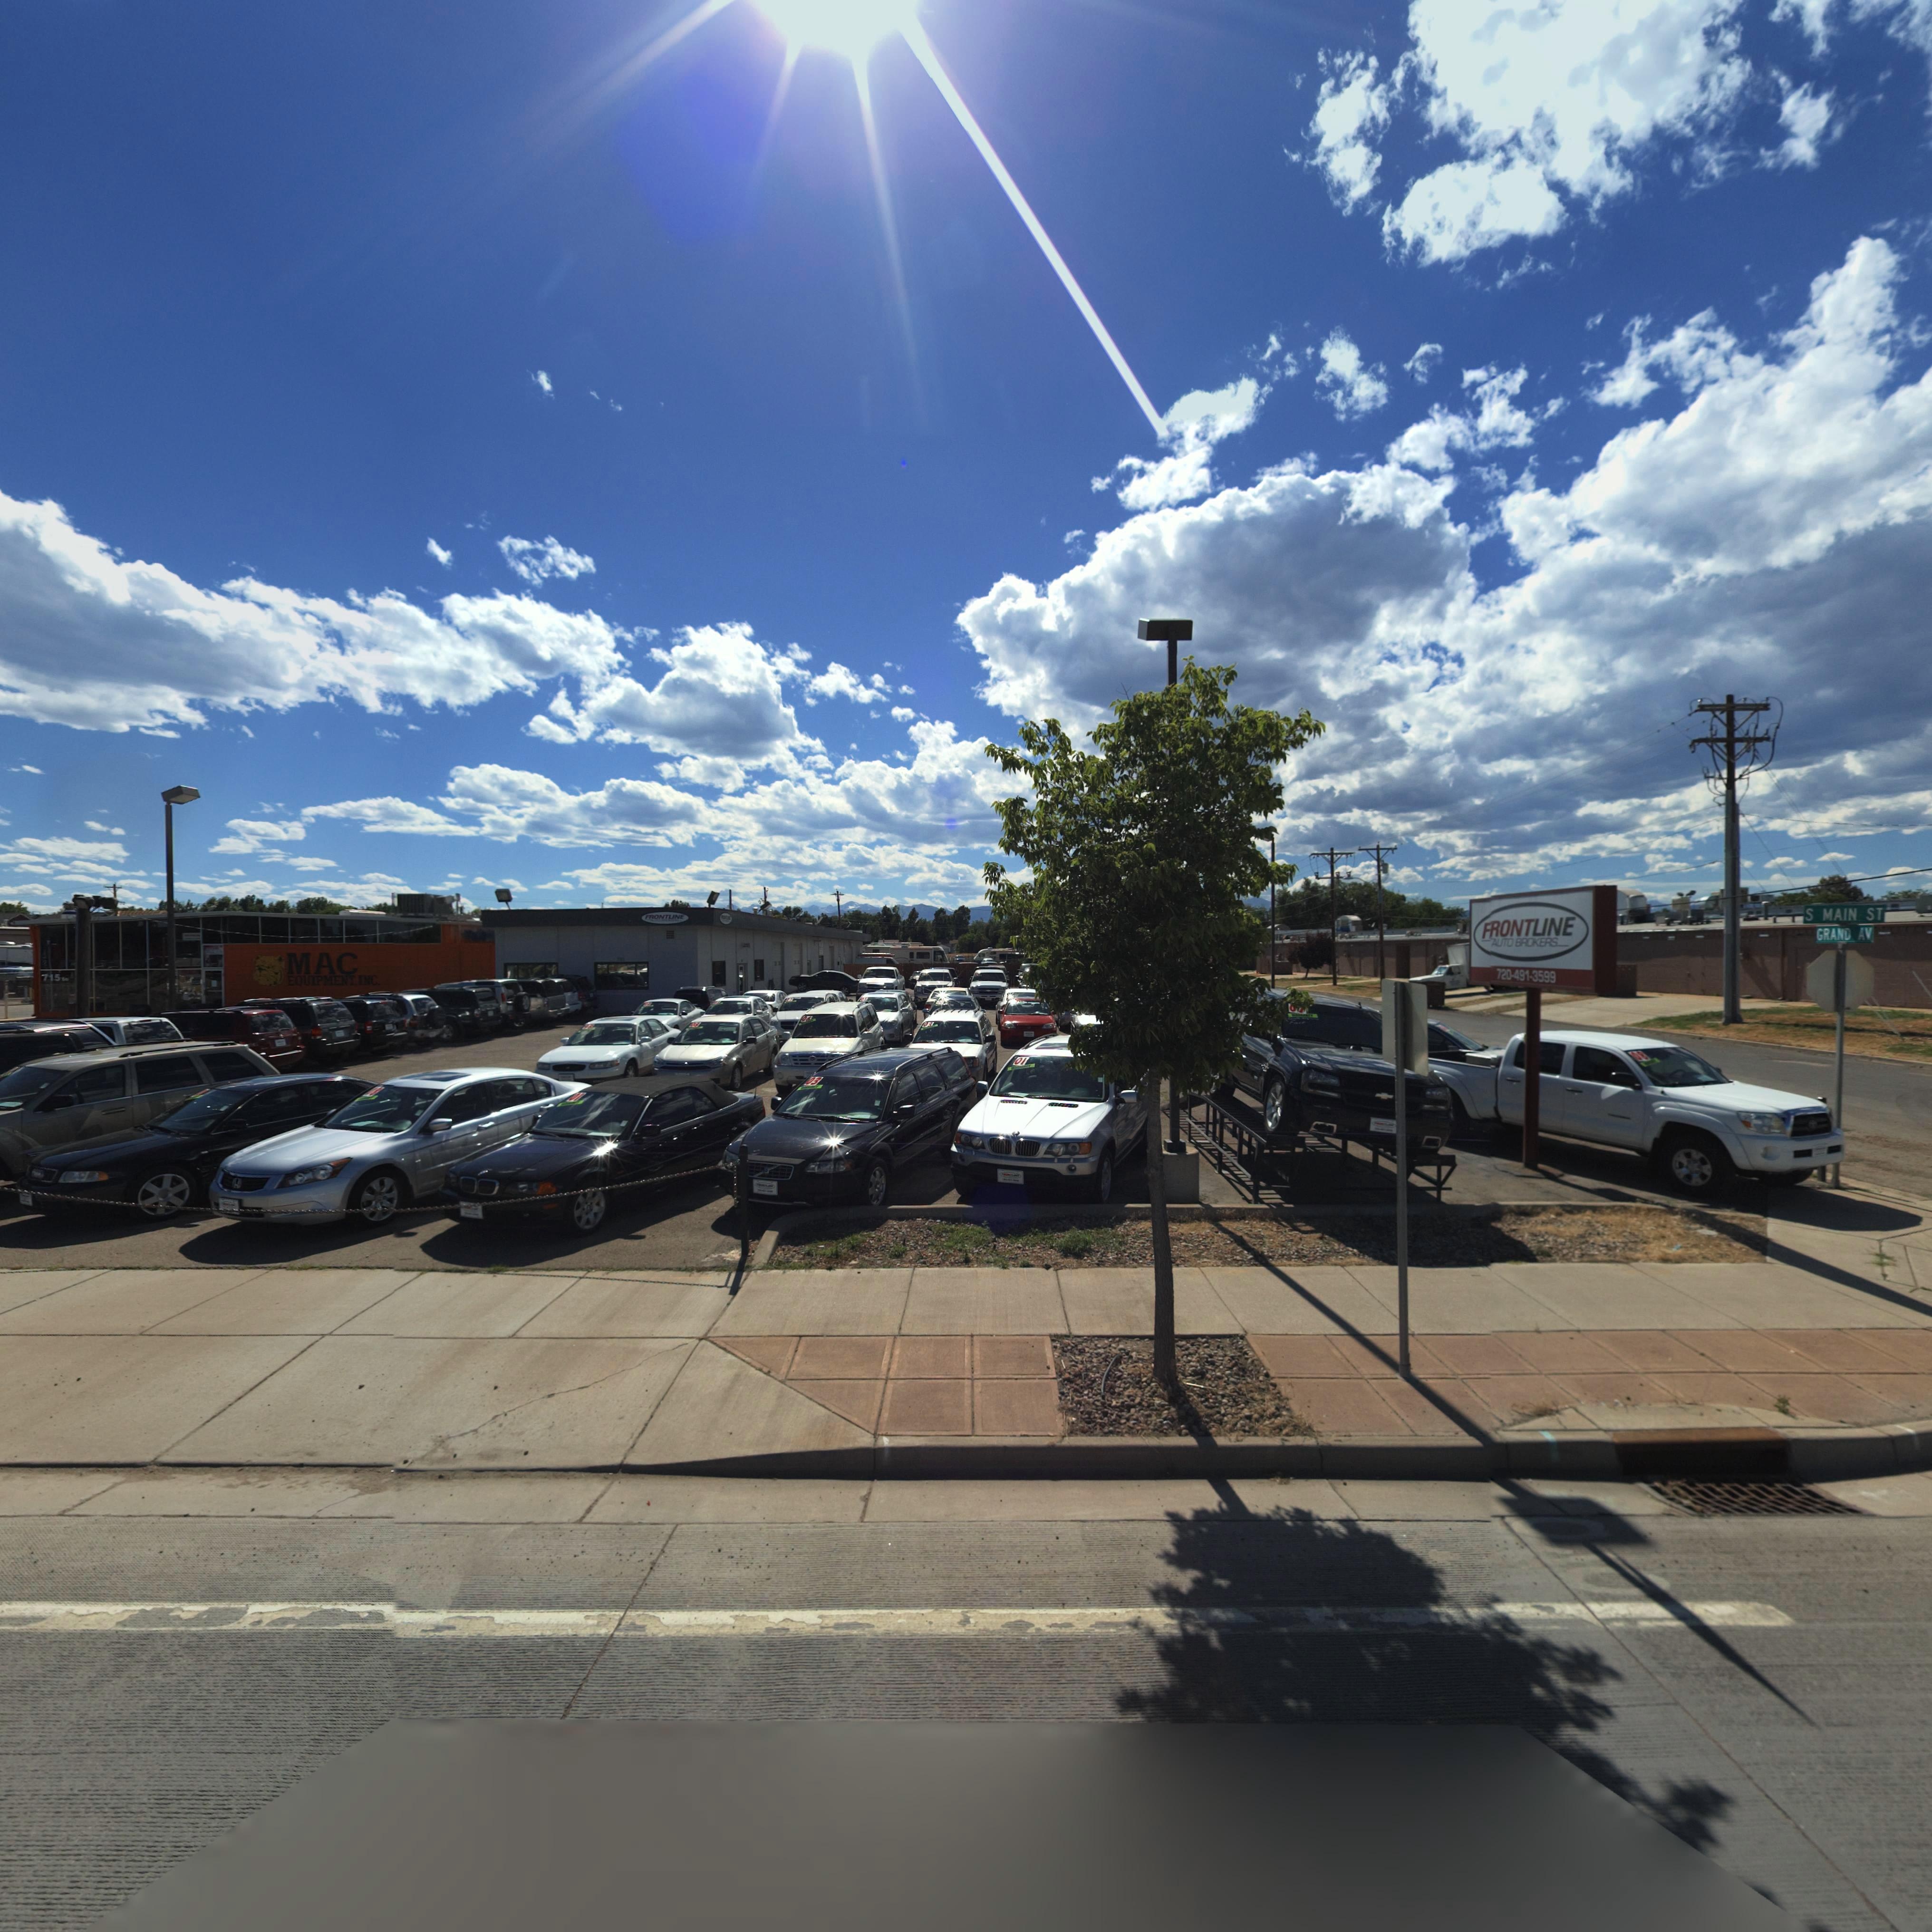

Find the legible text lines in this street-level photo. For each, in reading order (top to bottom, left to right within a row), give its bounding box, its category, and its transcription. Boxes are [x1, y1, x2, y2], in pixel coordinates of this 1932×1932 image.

[645, 914, 685, 919] BusinessName: FRONTLINE
[721, 915, 731, 920] BusinessName: F*O*****E
[1804, 906, 1884, 923] BusinessName: S MAIN ST
[1480, 915, 1576, 938] BusinessName: FRONTLINE
[1815, 926, 1874, 941] StreetName: GRAND AV
[1489, 937, 1559, 947] BusinessName: AUTO BROKERS
[285, 951, 359, 975] BusinessName: MAC
[287, 974, 382, 986] BusinessName: EQUIPMENT, INC.